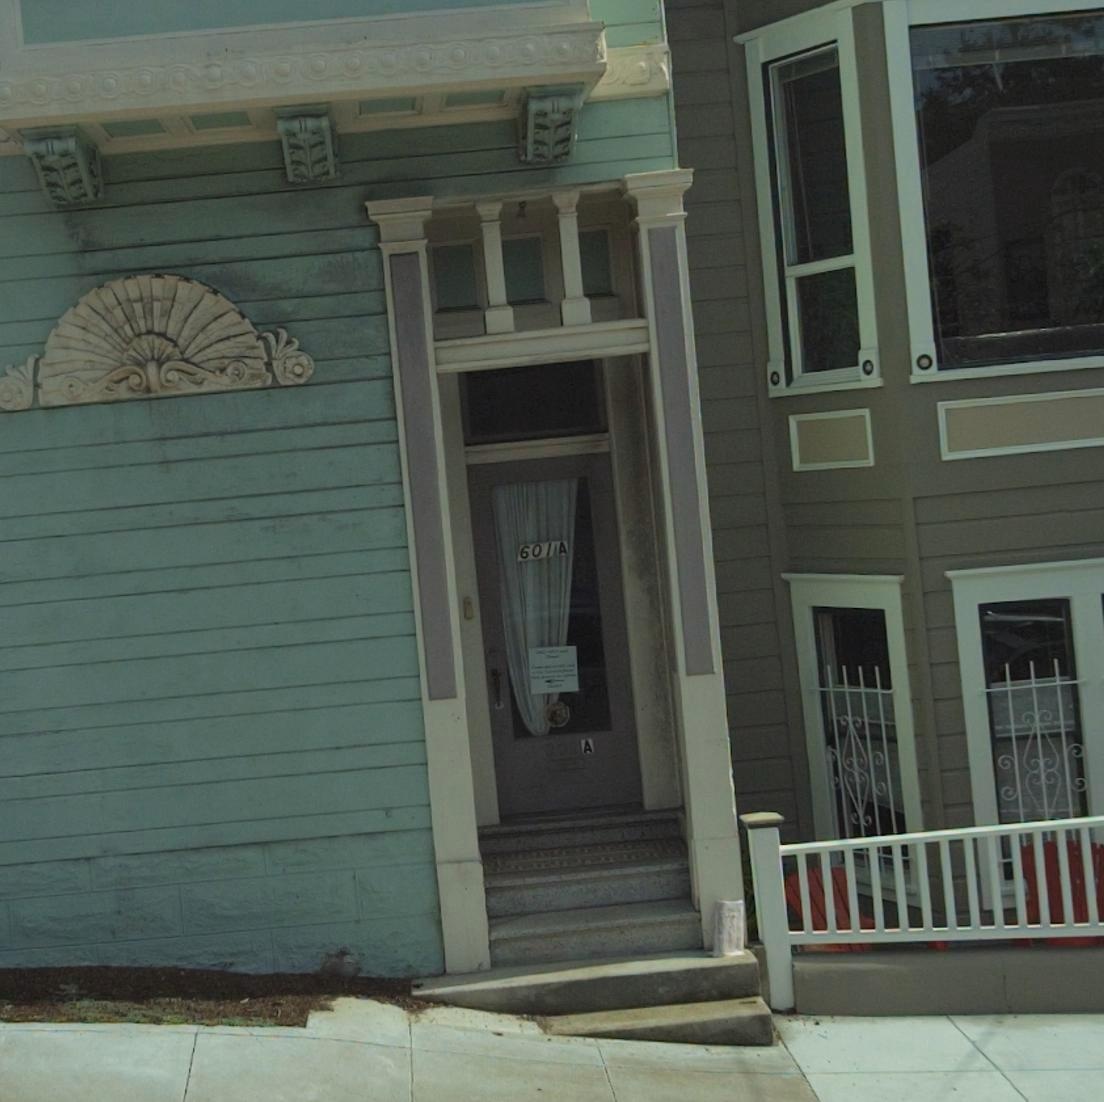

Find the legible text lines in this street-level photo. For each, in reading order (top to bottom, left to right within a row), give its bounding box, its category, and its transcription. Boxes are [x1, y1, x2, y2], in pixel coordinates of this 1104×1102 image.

[517, 540, 569, 561] StreetNumber: 601A
[581, 738, 594, 755] SecondaryUnitDesignator: A